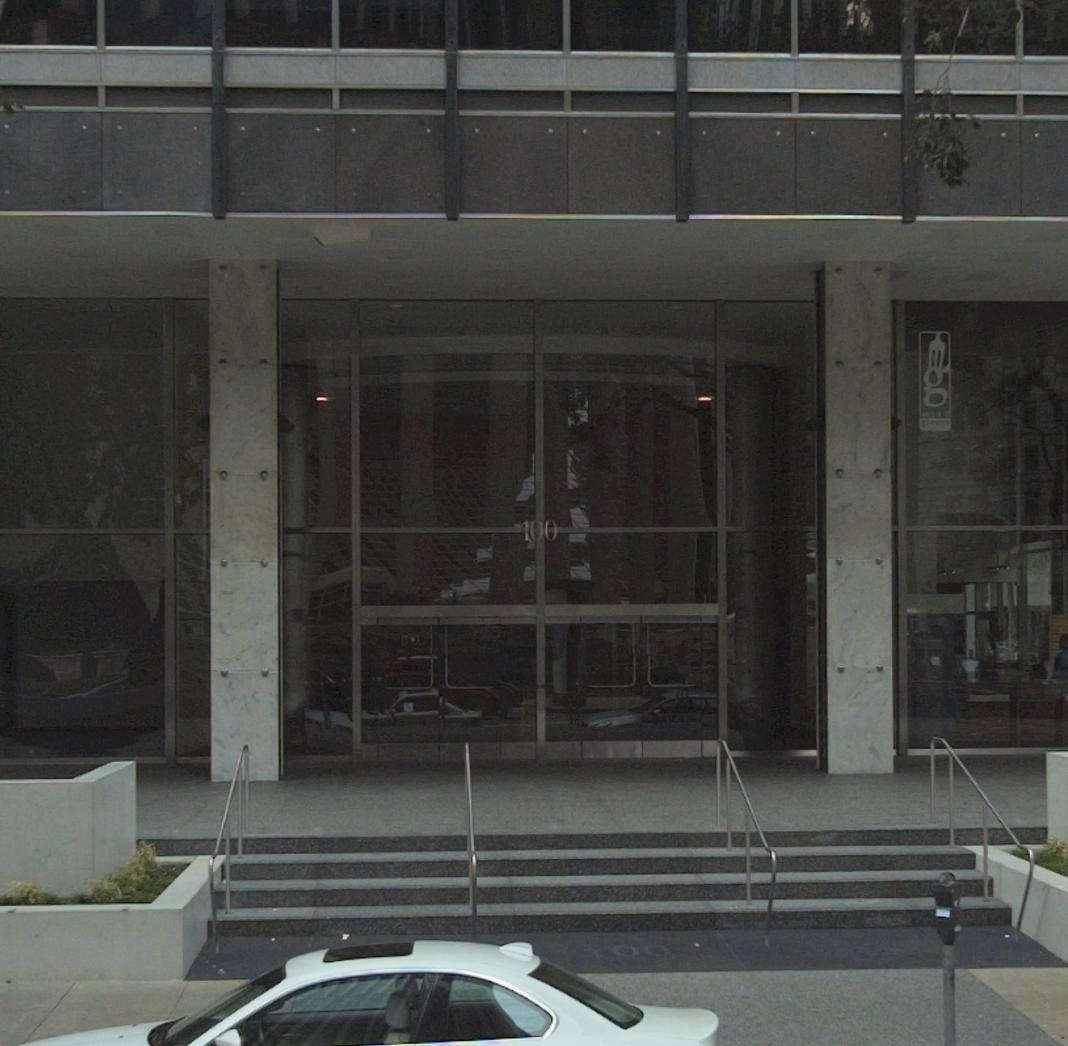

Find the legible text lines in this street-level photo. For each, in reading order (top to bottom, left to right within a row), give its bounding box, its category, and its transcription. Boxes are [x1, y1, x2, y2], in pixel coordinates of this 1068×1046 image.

[920, 360, 952, 417] BusinessName: g
[519, 516, 562, 547] StreetNumber: 100
[606, 941, 677, 963] StreetNumber: 00